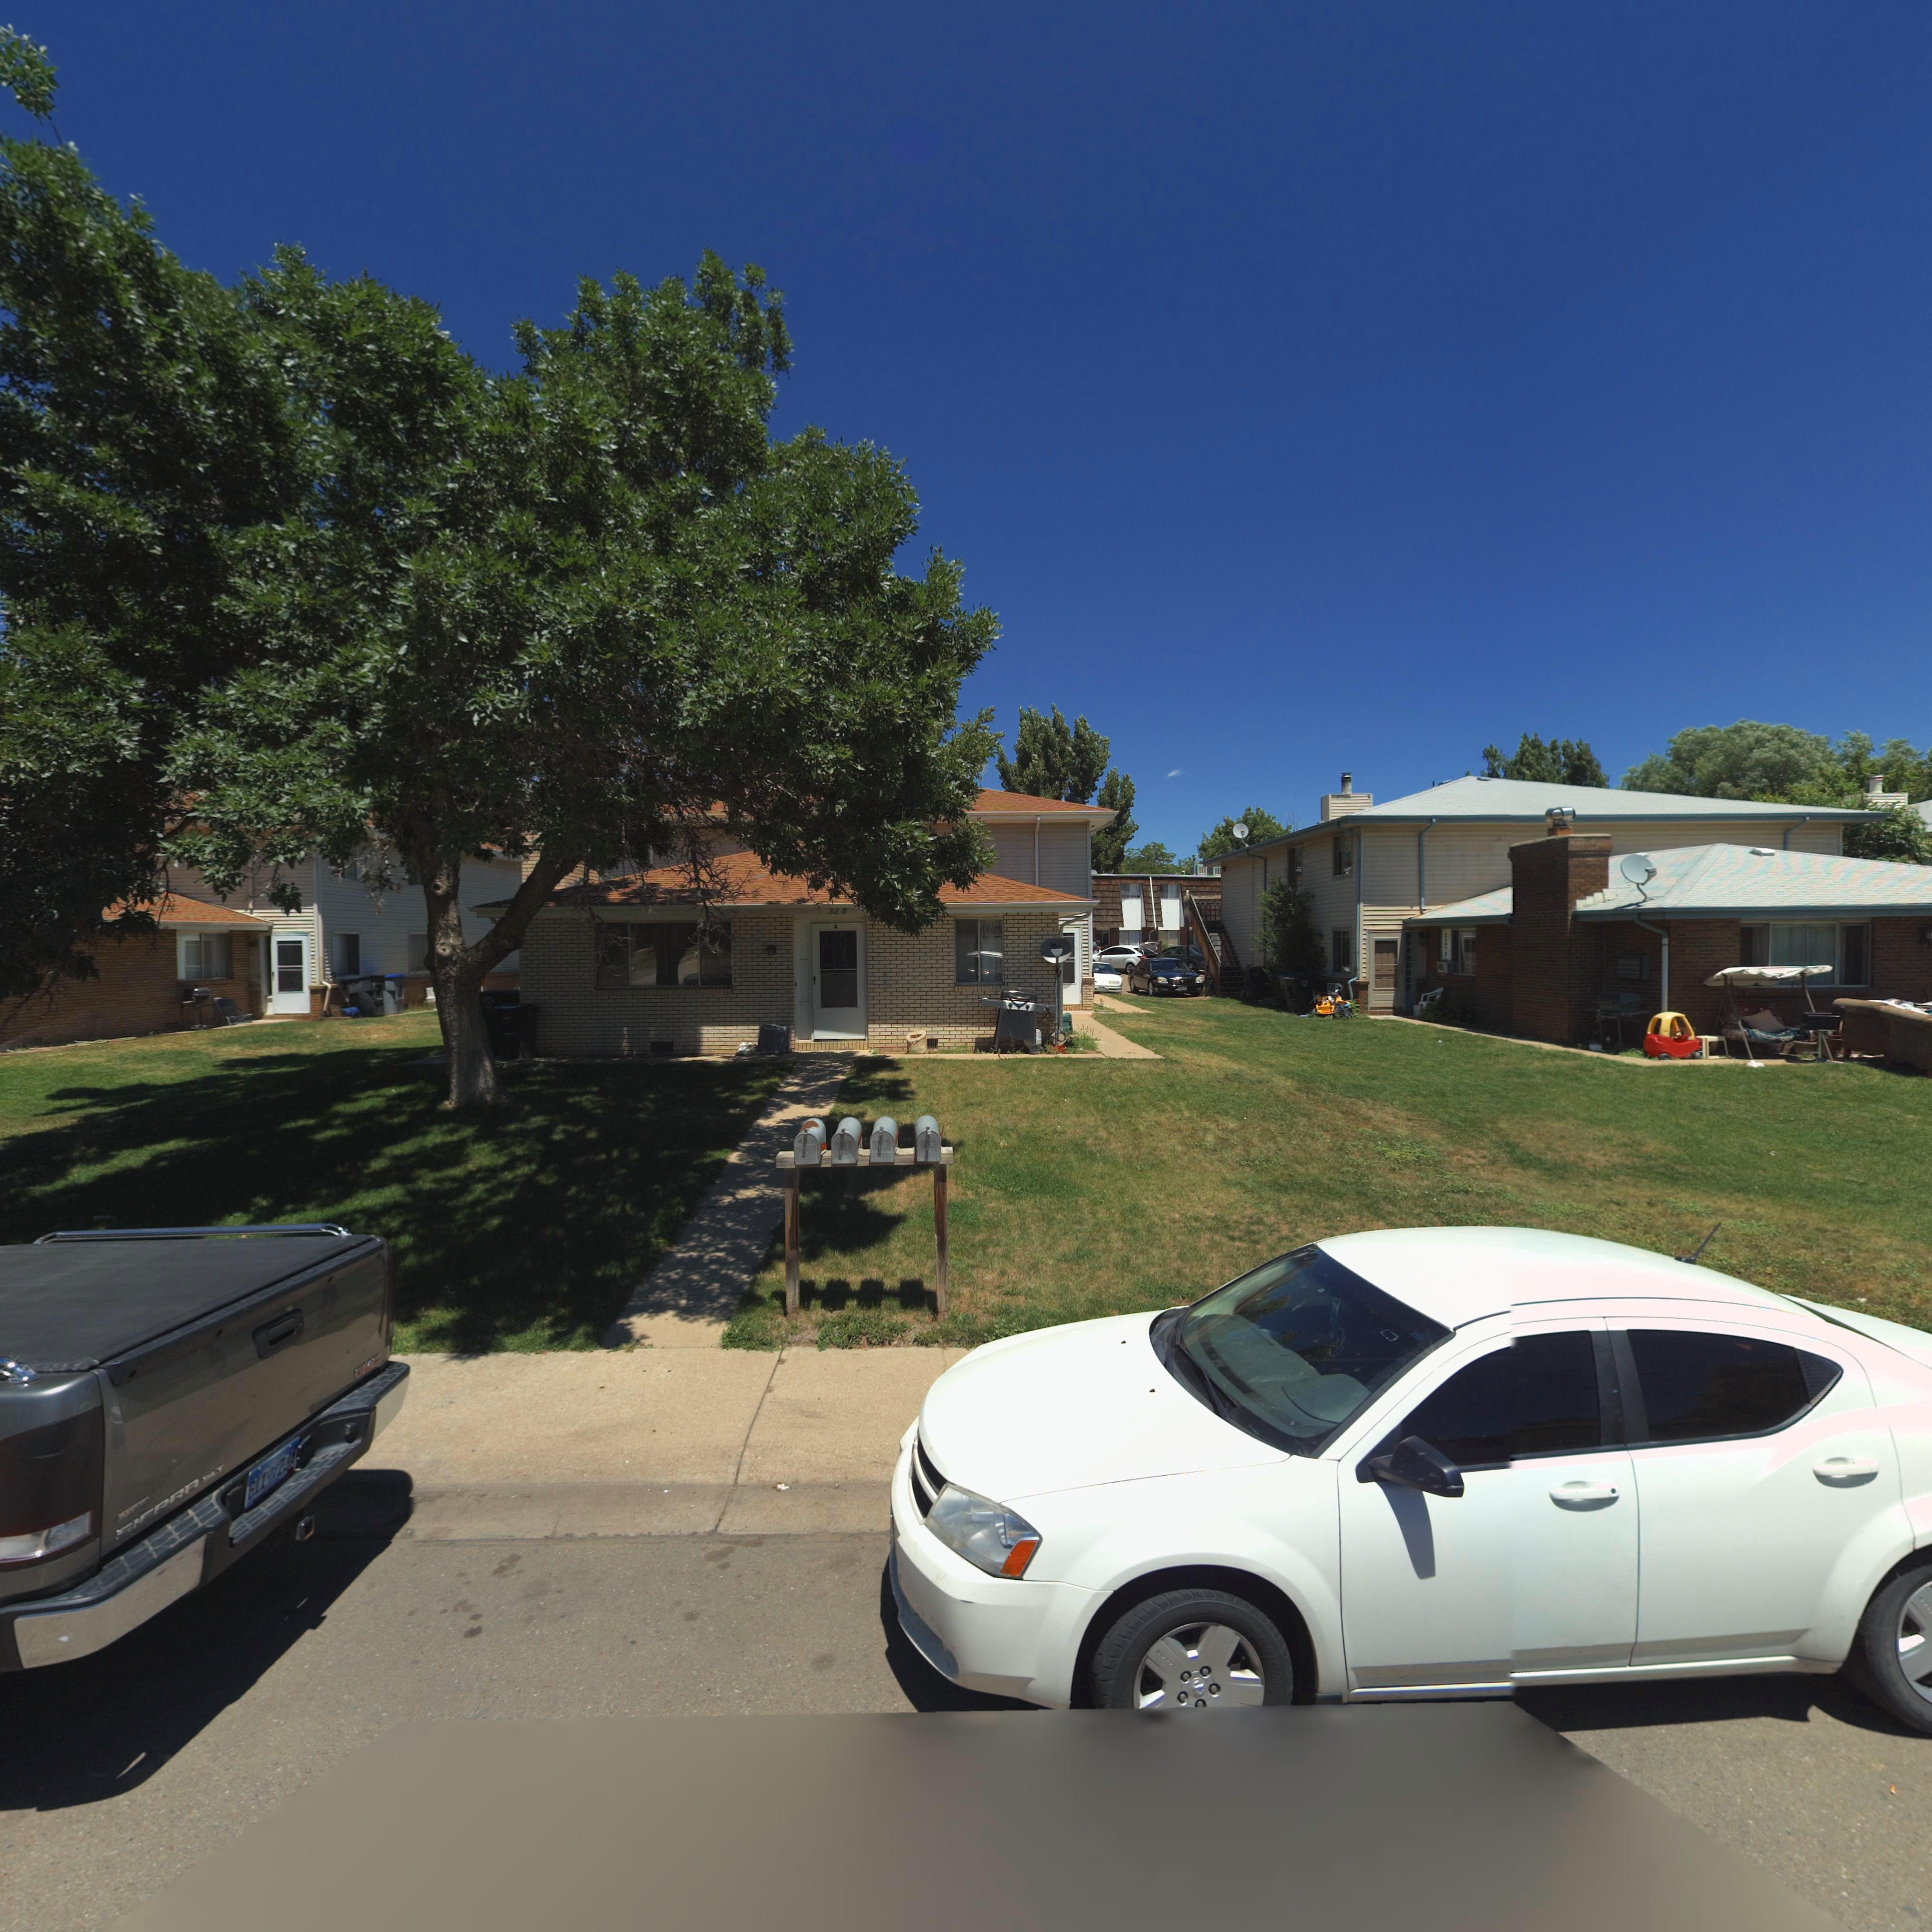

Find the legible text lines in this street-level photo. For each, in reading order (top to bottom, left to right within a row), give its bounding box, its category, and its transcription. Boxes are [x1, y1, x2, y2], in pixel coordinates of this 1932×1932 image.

[827, 908, 847, 914] StreetNumber: 328